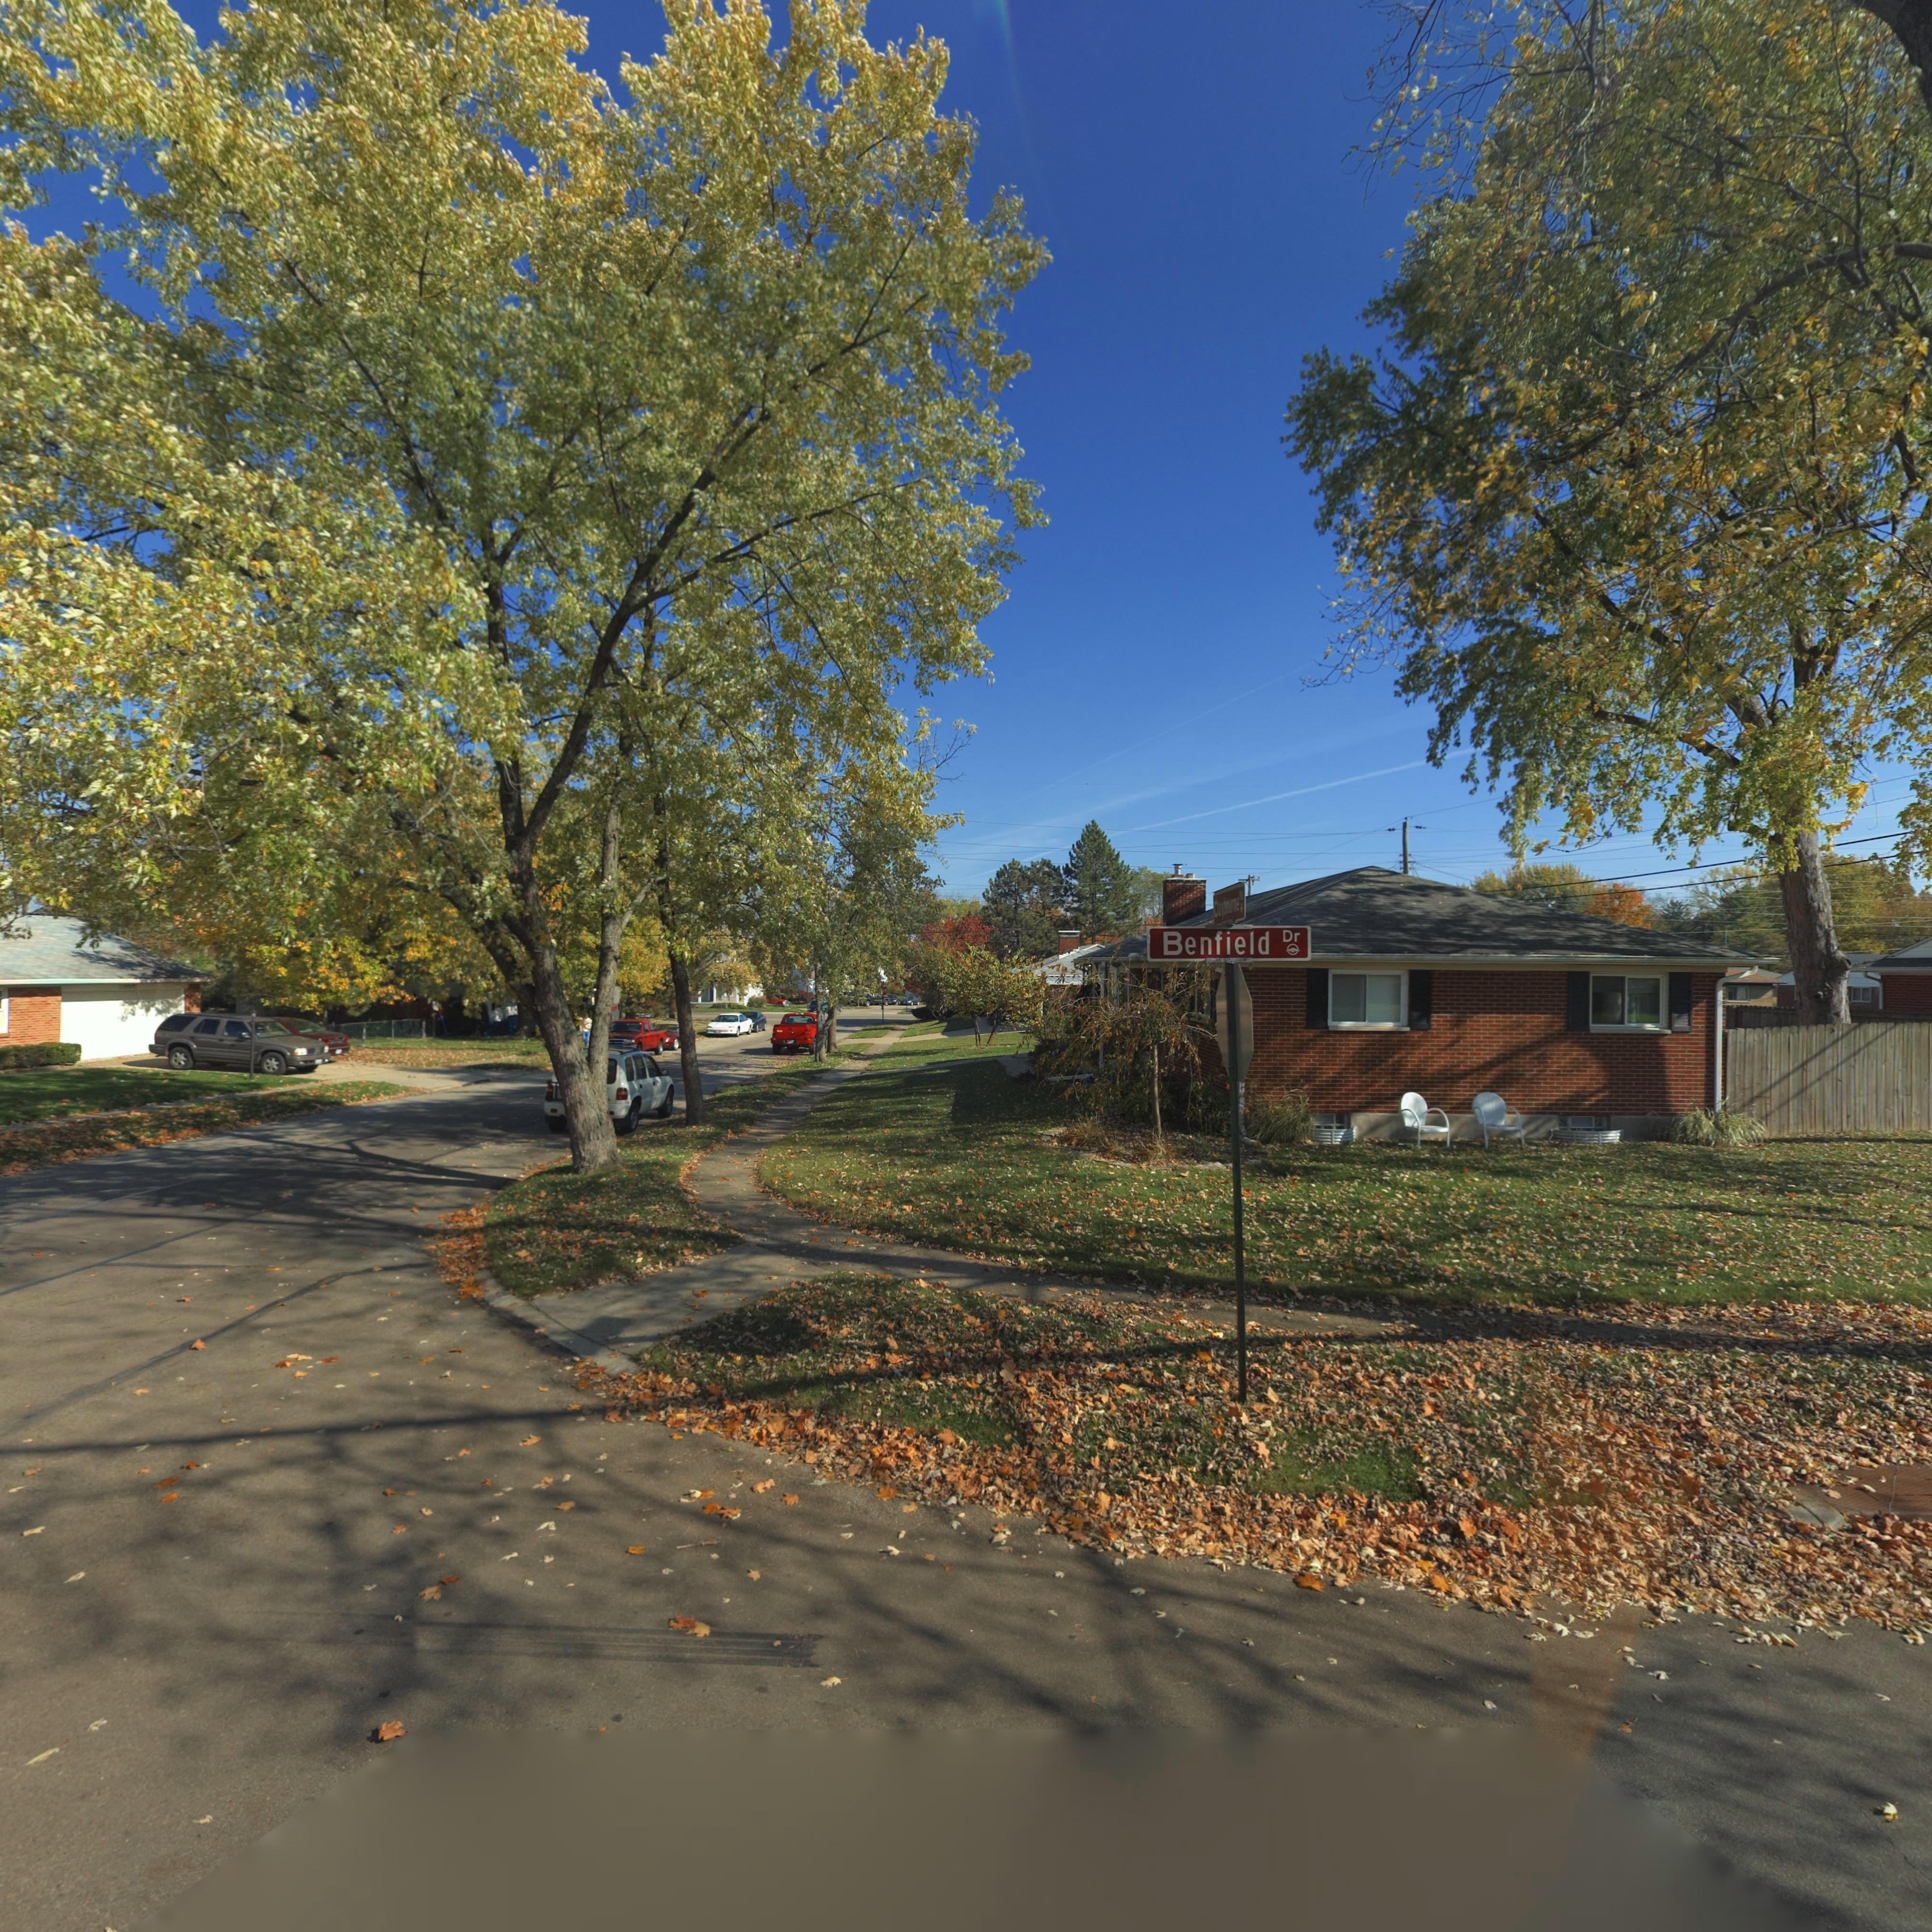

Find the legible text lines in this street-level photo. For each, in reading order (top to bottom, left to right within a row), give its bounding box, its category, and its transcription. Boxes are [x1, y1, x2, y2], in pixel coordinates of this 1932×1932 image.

[1213, 889, 1244, 922] StreetName: Claybourne Rd
[1162, 927, 1302, 957] StreetName: Benfield Dr